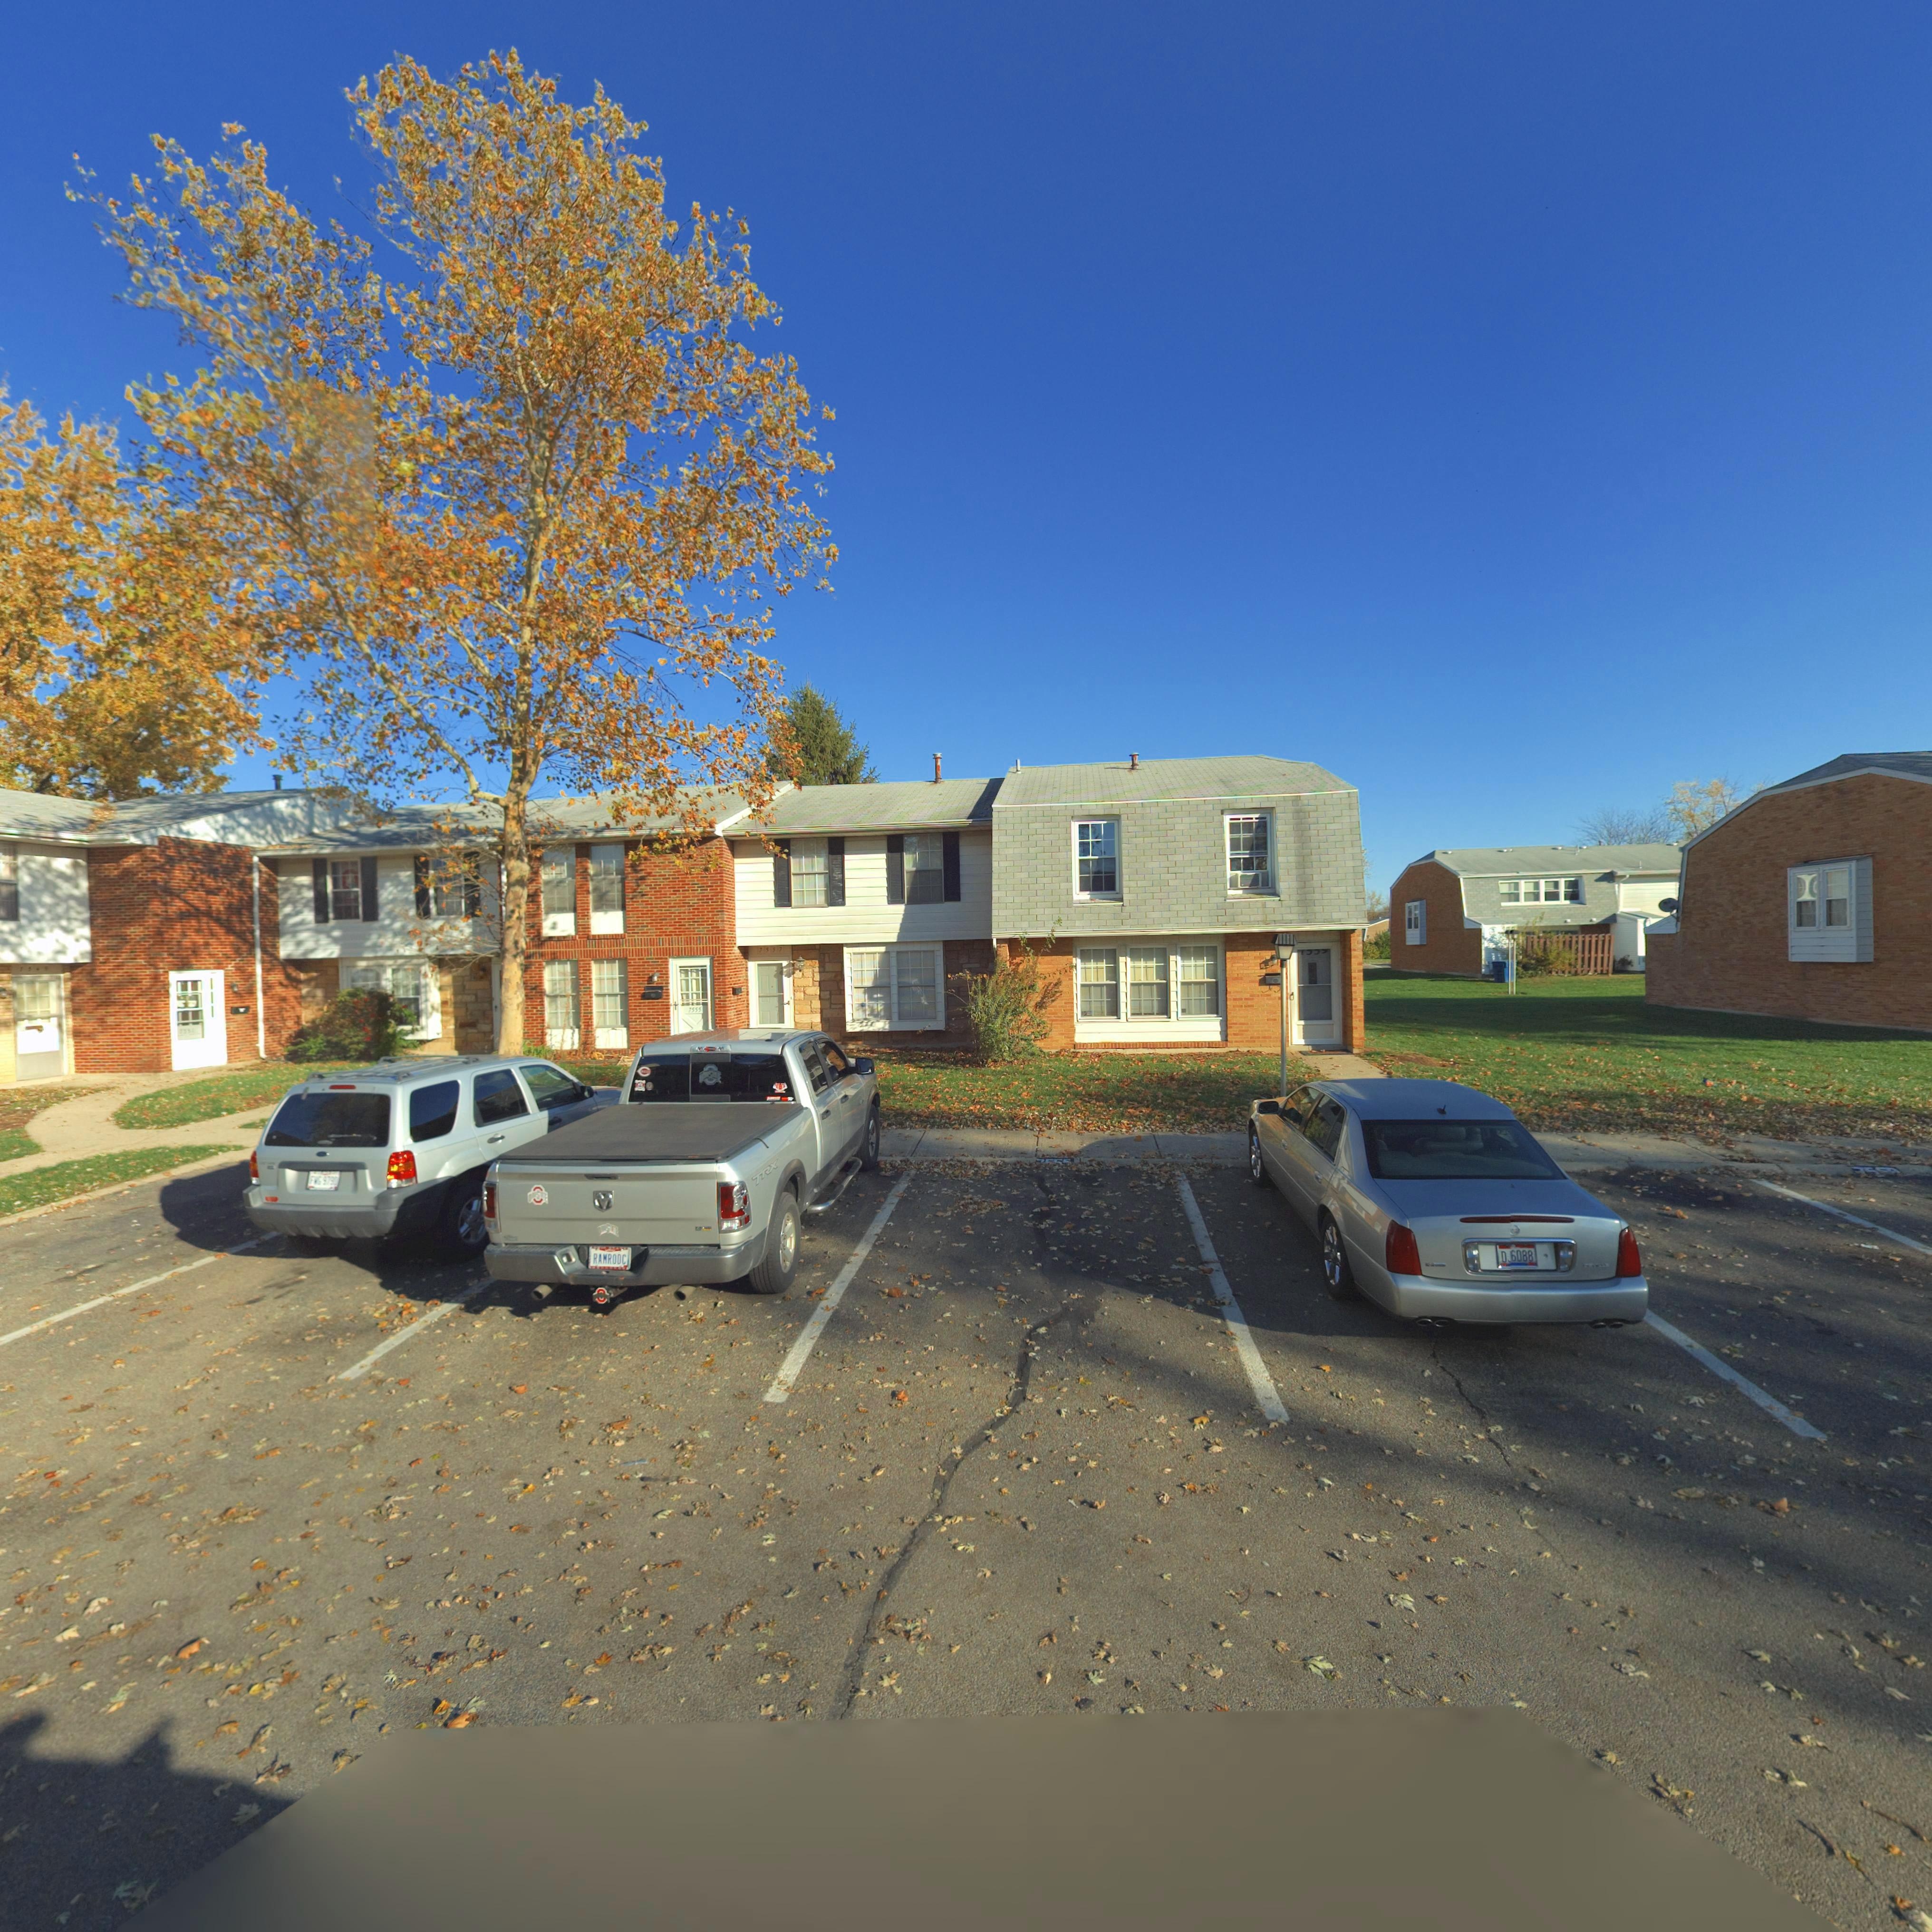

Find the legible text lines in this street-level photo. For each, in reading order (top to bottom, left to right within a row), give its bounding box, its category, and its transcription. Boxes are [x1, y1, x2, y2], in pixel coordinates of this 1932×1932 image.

[758, 947, 783, 953] StreetNumber: 7557
[19, 965, 50, 973] StreetNumber: 7549
[687, 1006, 702, 1013] StreetNumber: 7555
[1034, 1158, 1072, 1165] StreetNumber: 7555
[1850, 1166, 1903, 1177] StreetNumber: 75**